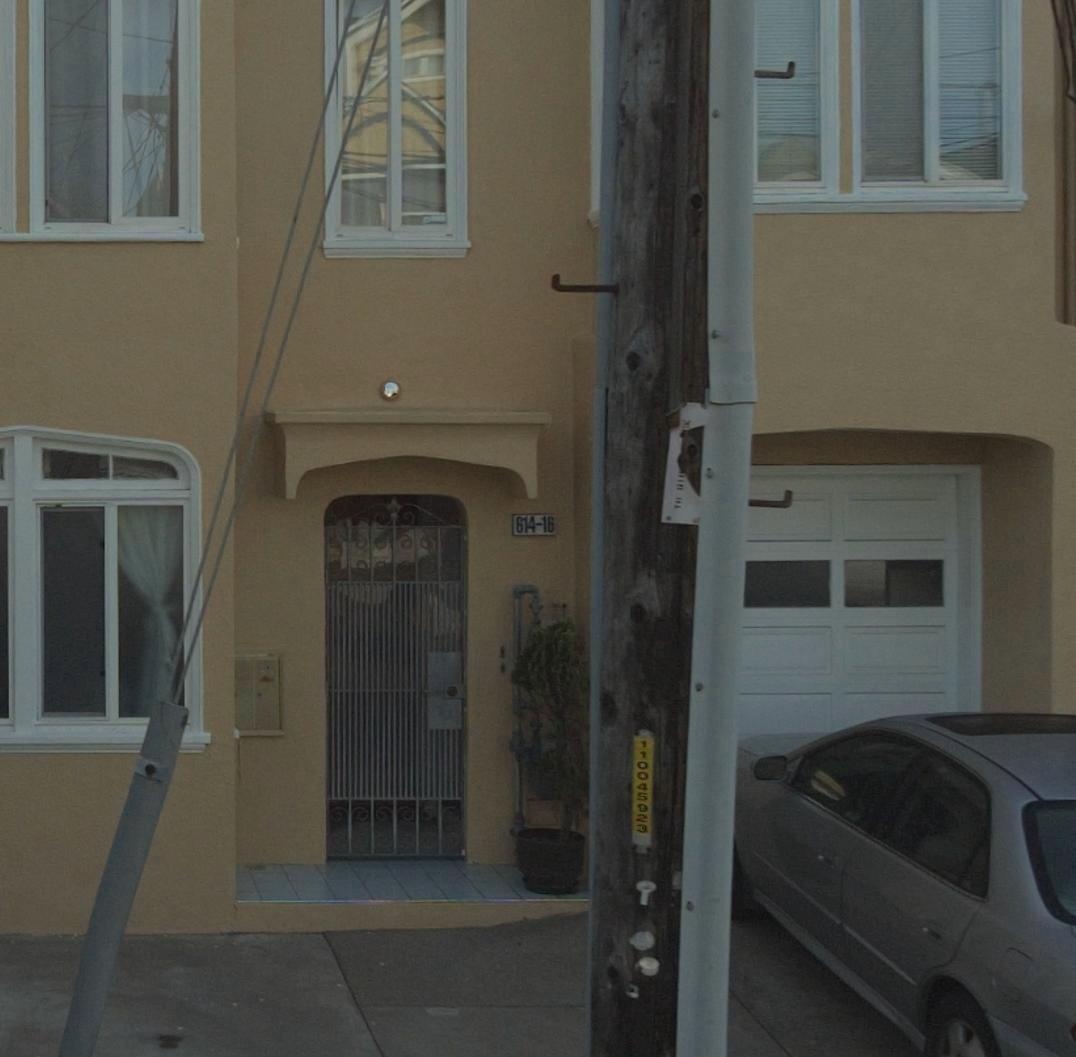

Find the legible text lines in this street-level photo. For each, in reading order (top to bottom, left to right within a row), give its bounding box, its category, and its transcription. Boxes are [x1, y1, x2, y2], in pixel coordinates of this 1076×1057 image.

[513, 513, 557, 535] StreetNumber: 614-16
[633, 738, 654, 836] None: 110045*23